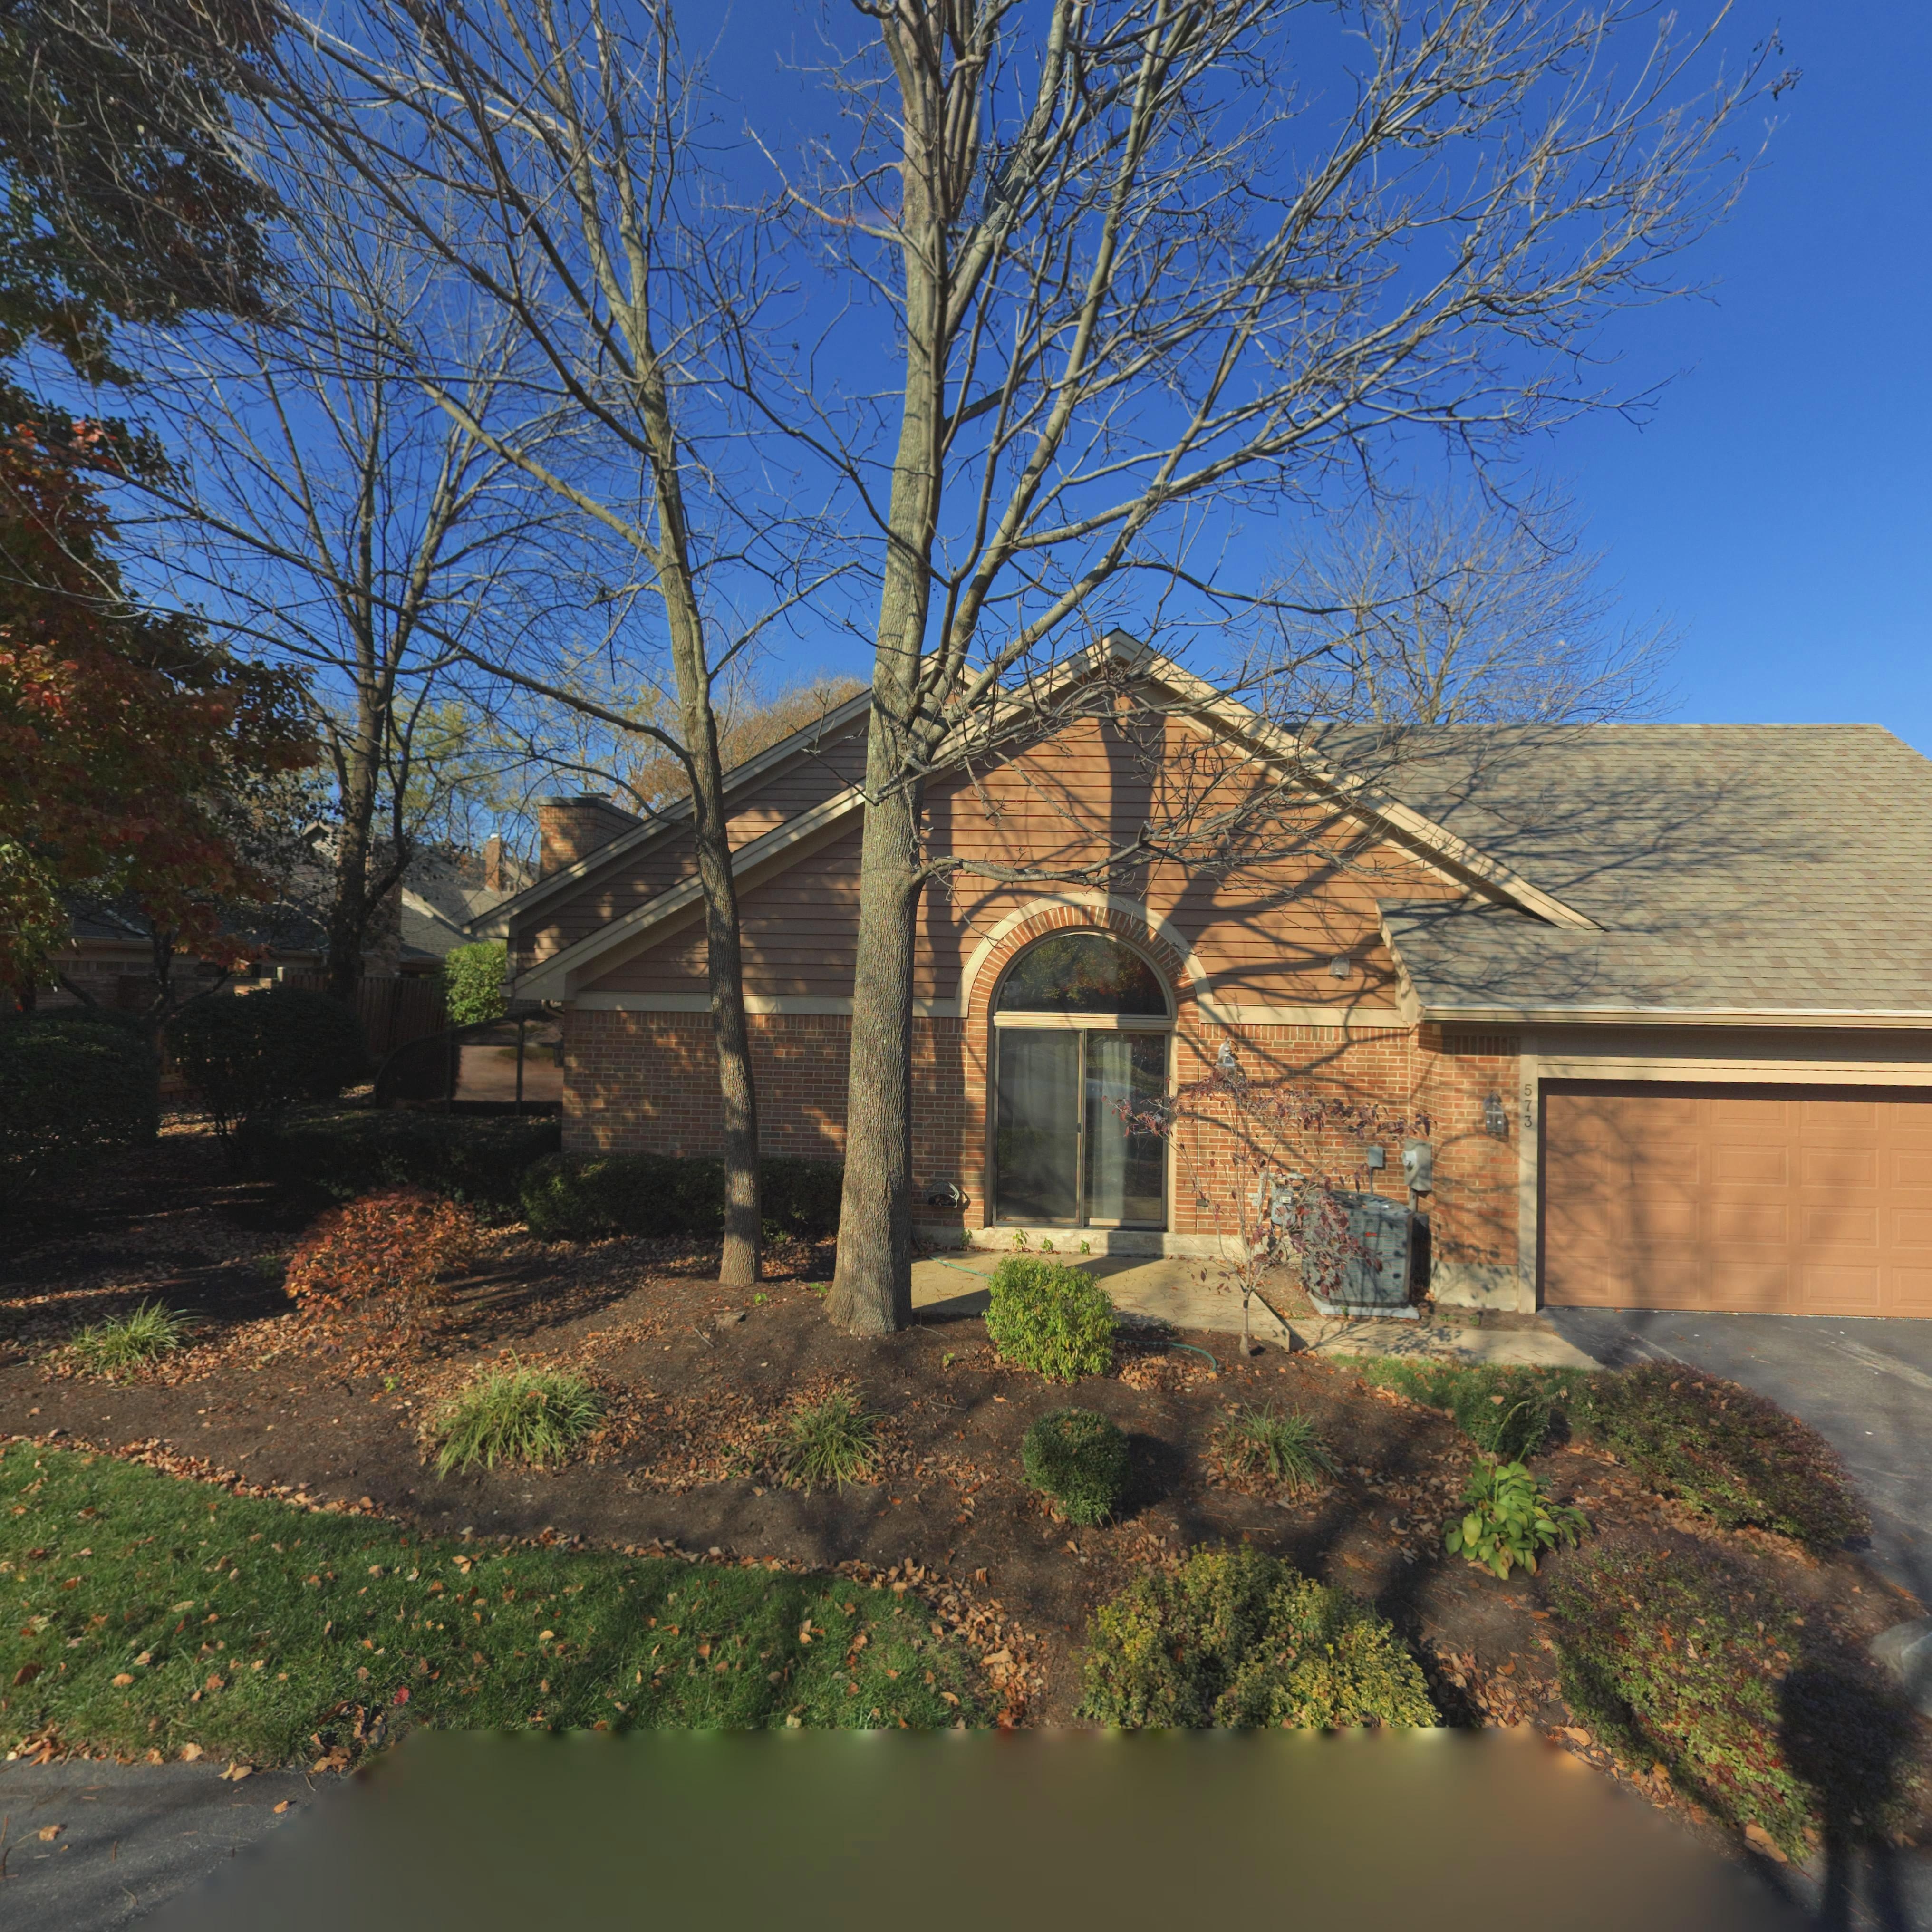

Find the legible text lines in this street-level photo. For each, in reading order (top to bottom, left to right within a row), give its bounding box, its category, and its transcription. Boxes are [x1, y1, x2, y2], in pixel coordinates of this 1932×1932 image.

[1523, 1082, 1534, 1129] StreetNumber: 573